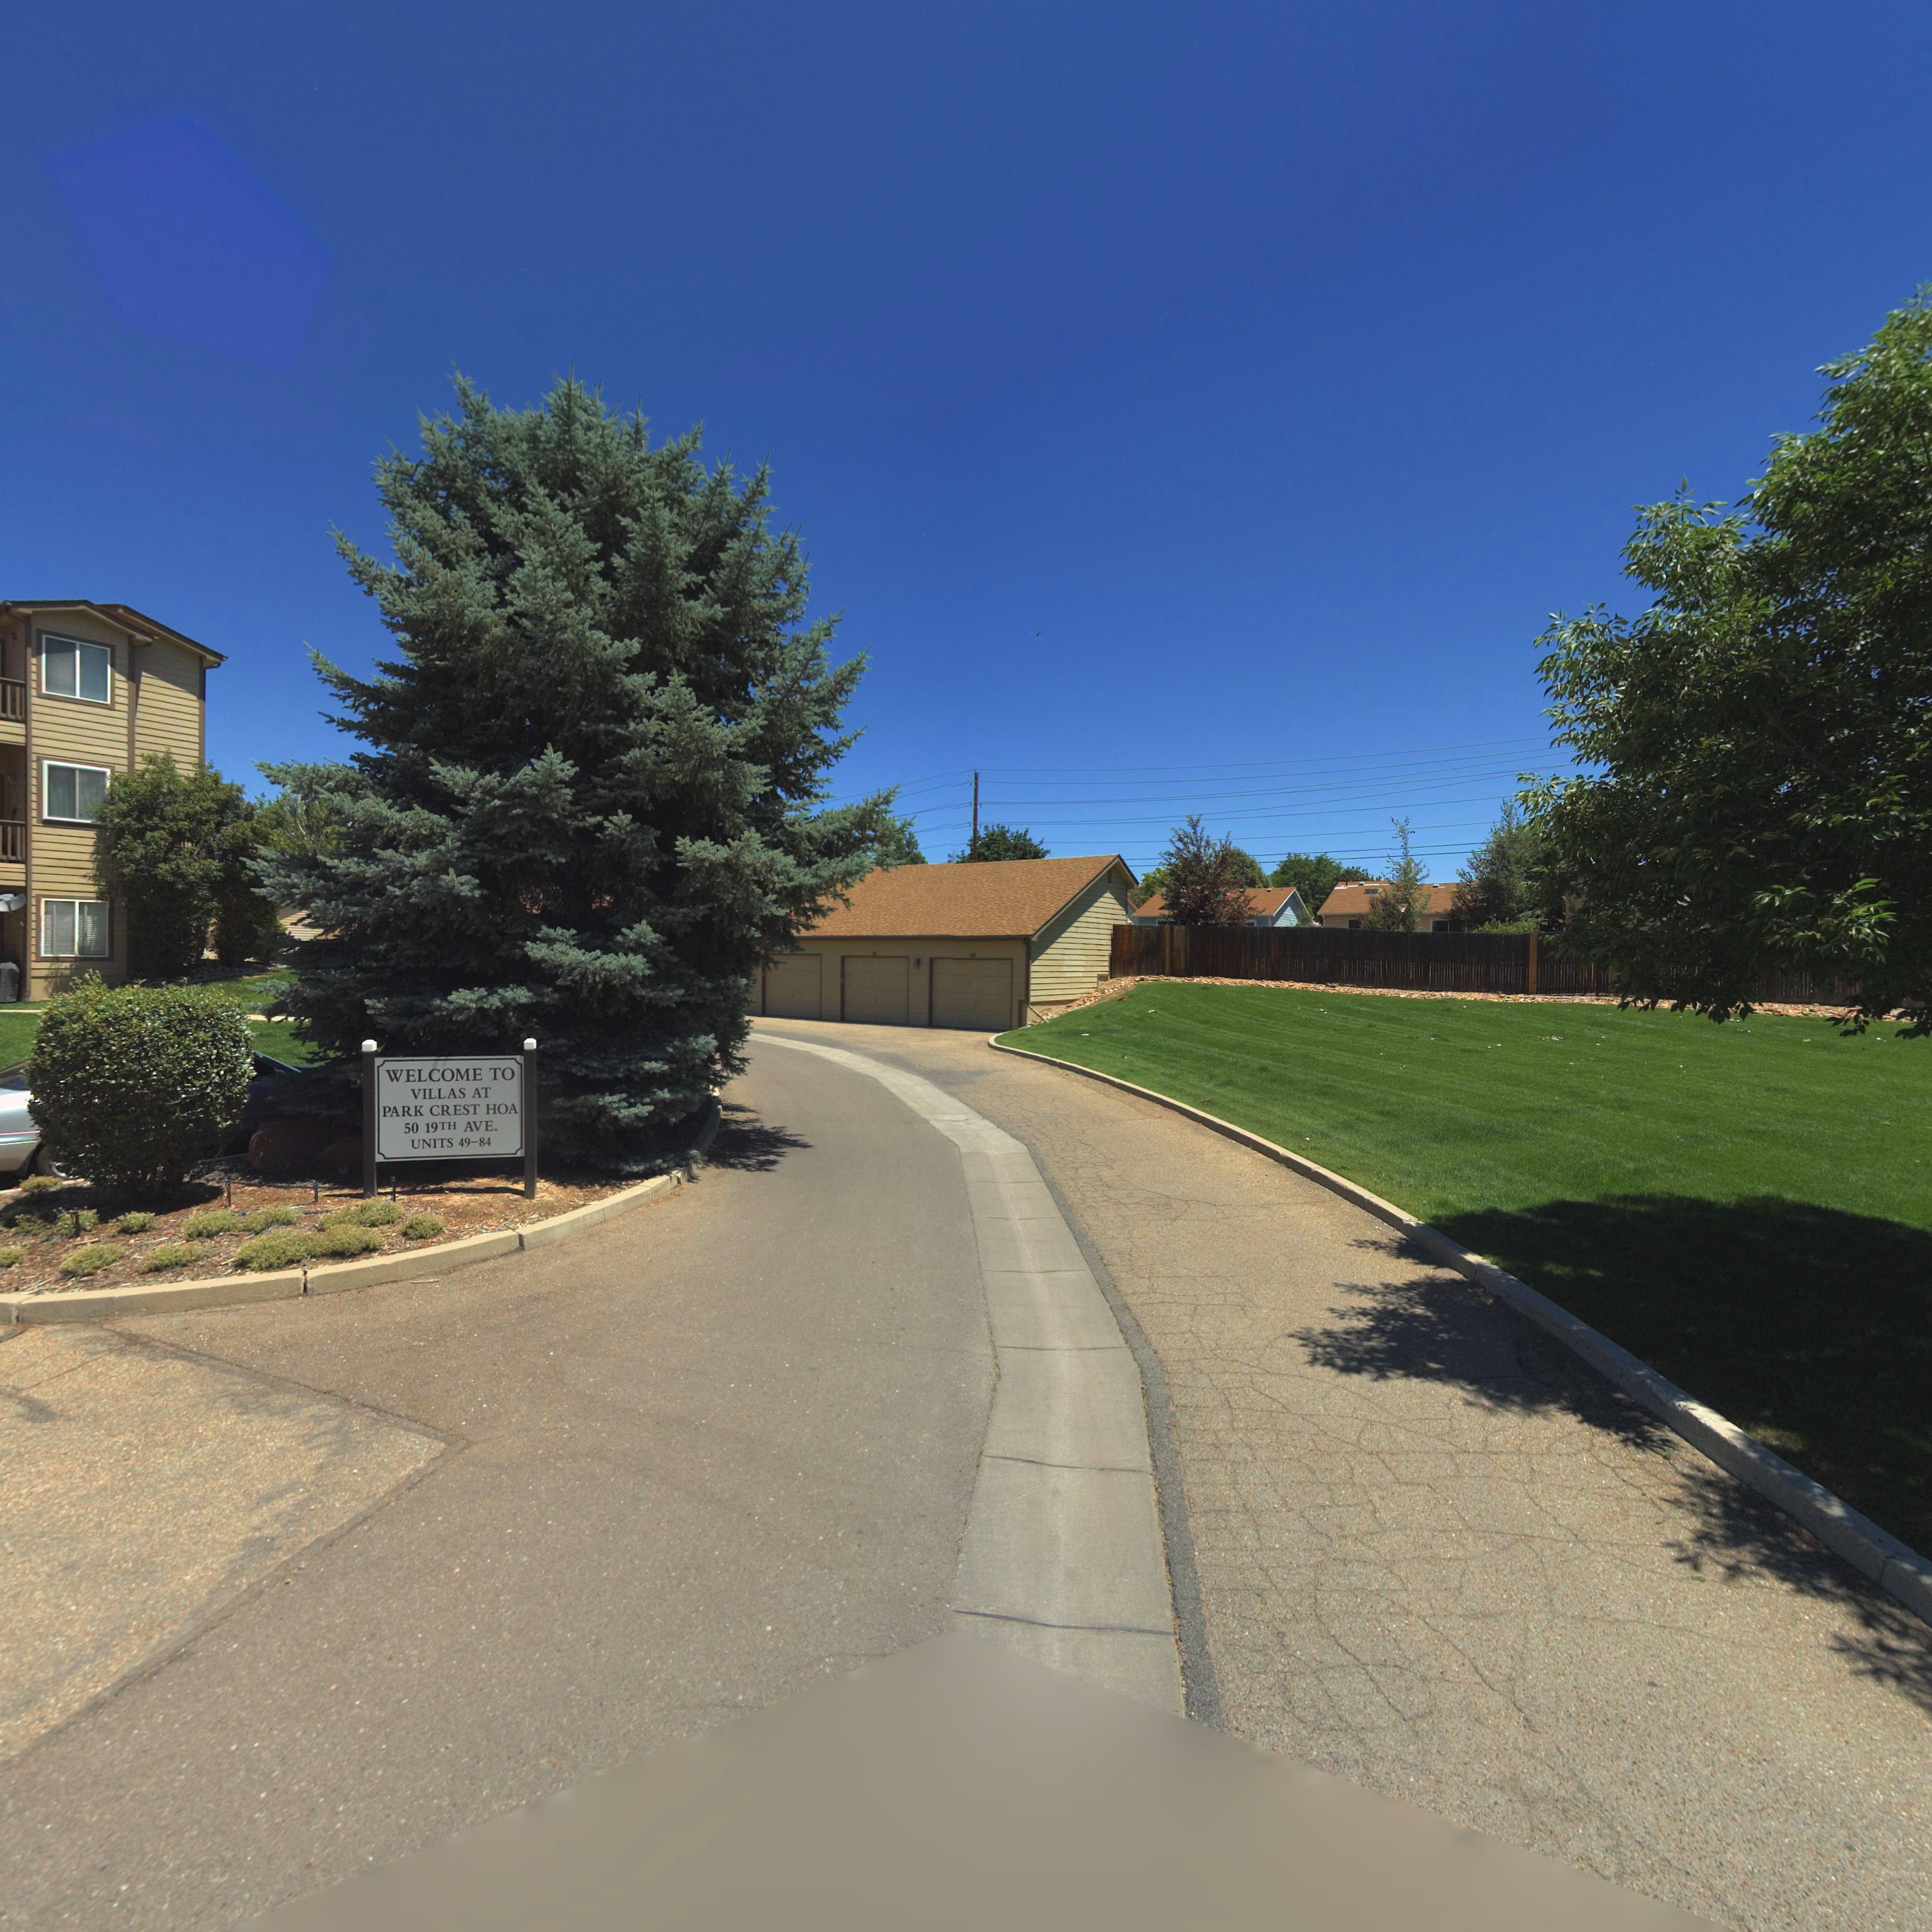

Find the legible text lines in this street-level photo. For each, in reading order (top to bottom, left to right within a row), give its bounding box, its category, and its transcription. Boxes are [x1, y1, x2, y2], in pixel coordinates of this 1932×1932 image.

[404, 1120, 493, 1133] StreetName: 50 19TH AVE
[411, 1137, 492, 1149] SecondaryUnitDesignator: UNITS 49-84